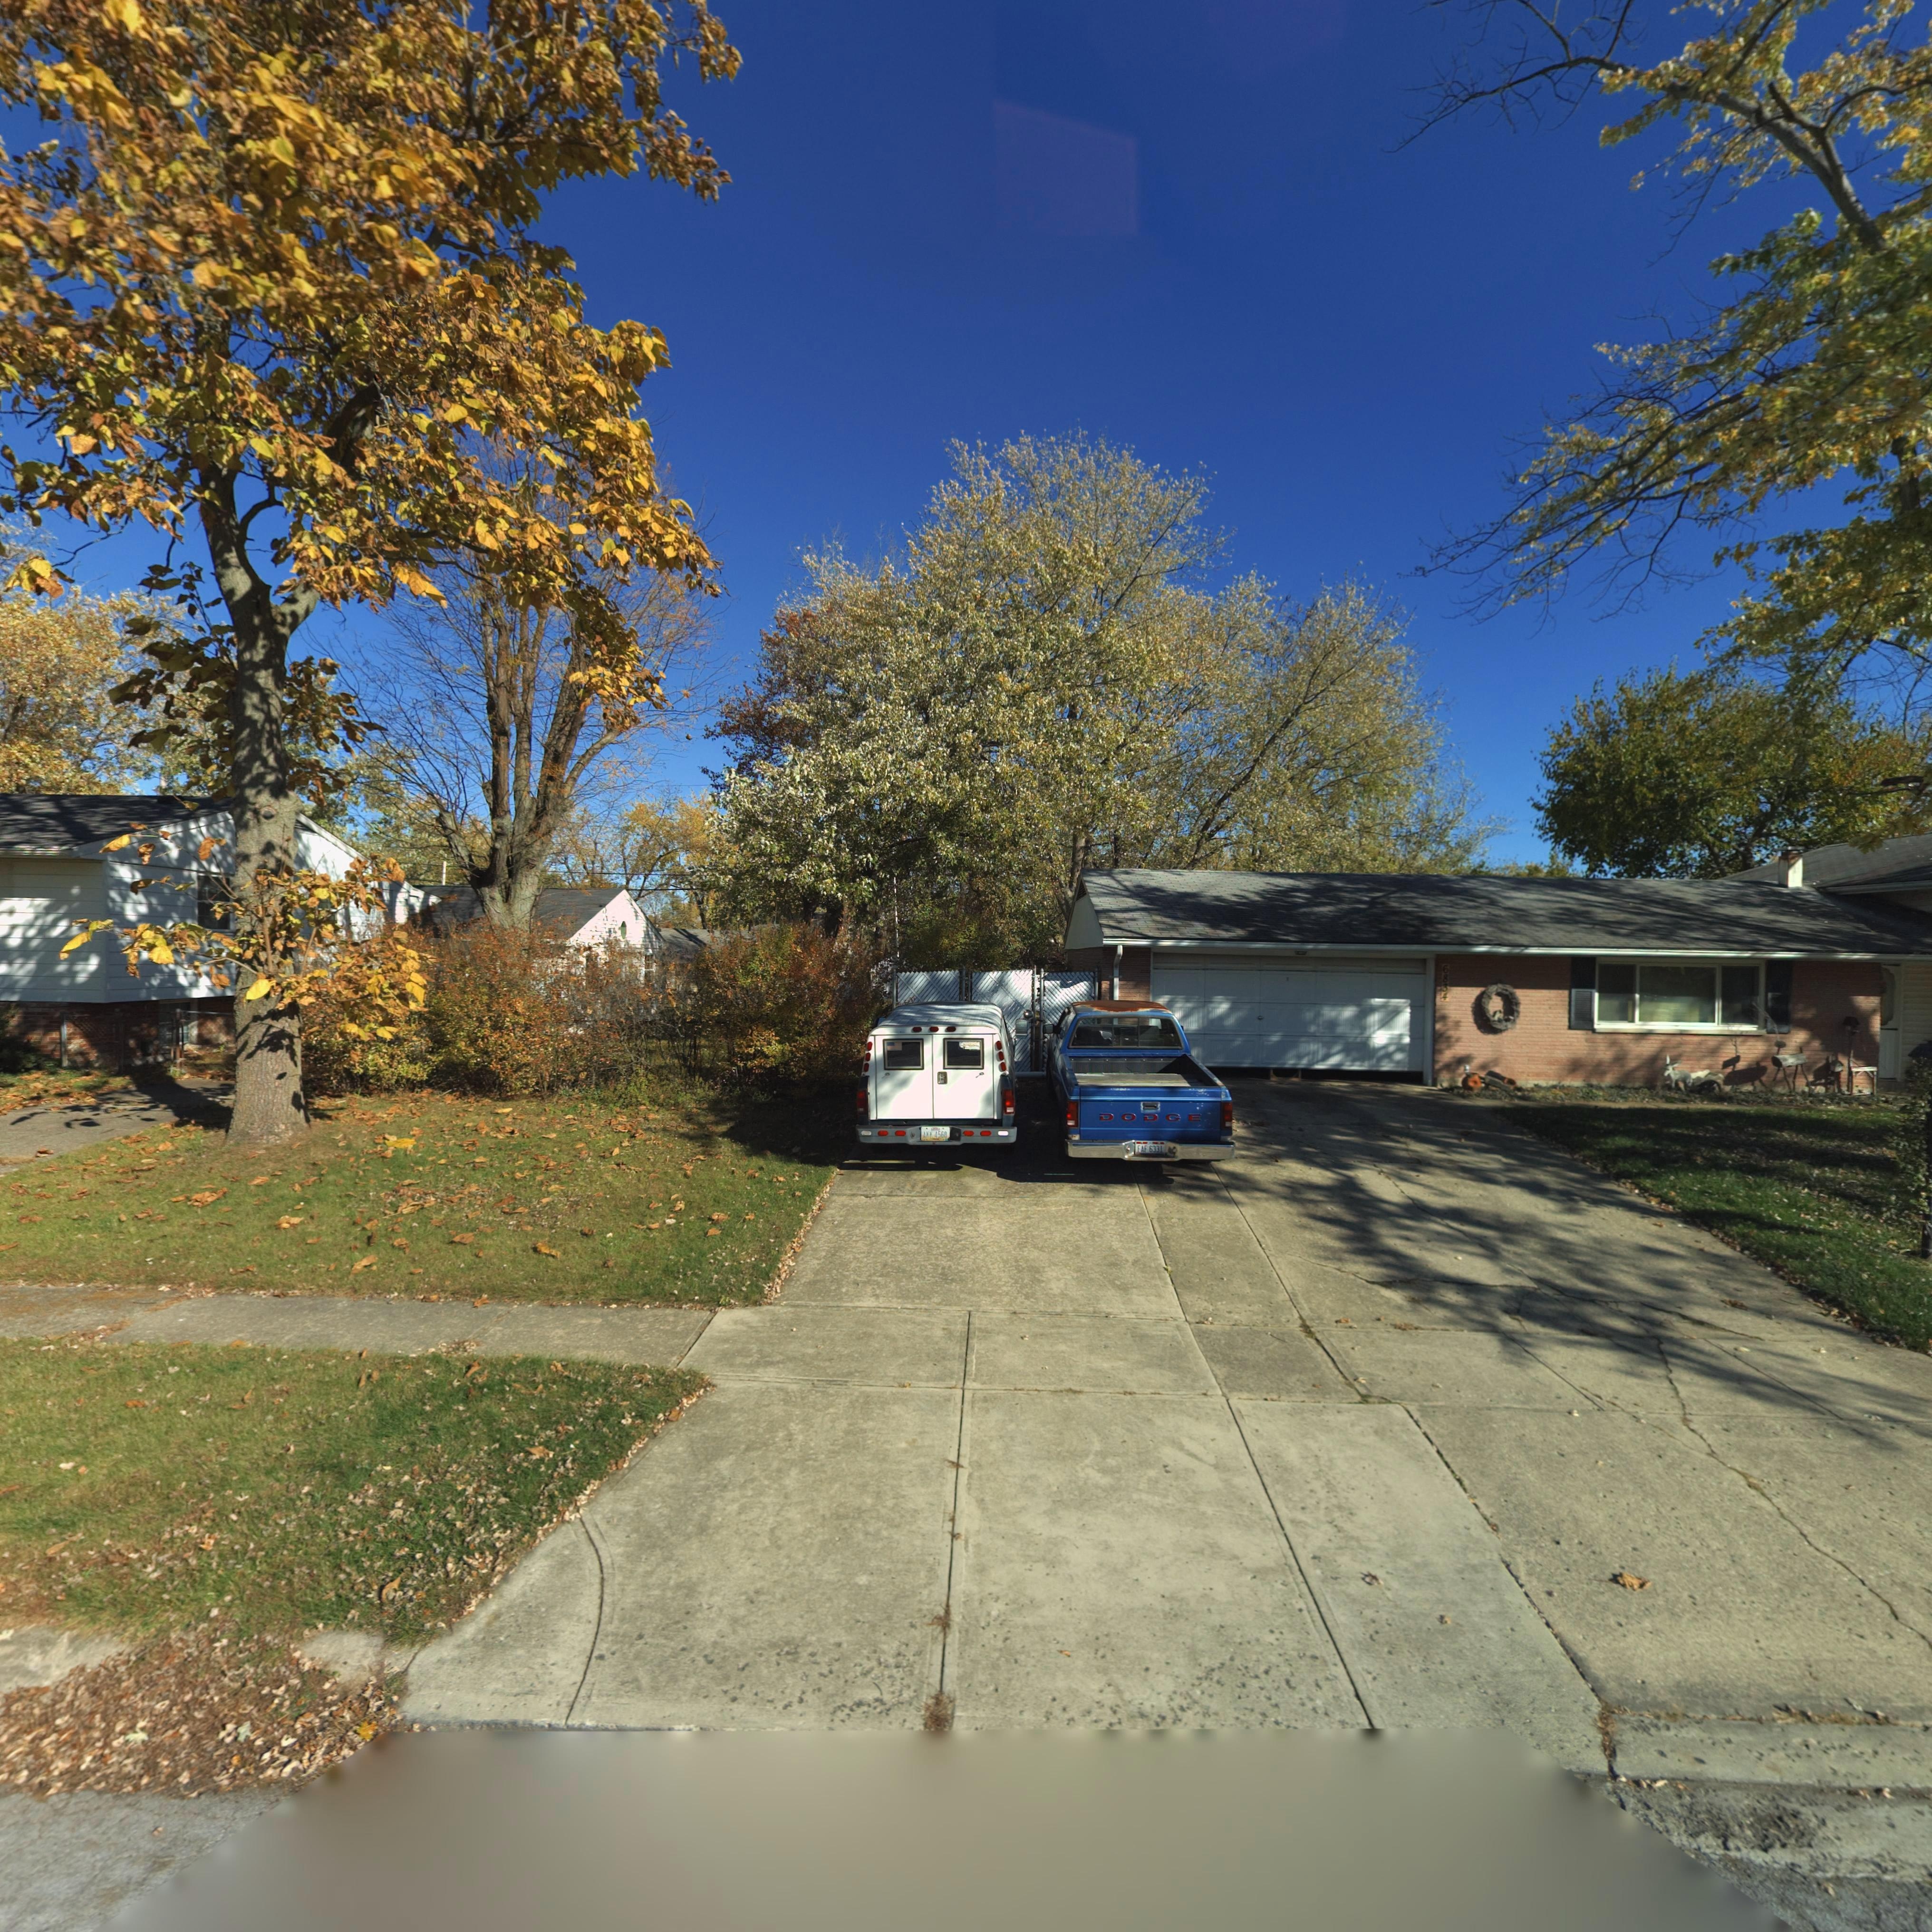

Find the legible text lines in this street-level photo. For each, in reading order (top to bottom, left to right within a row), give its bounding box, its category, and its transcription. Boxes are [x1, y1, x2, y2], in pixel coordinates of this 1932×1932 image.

[1440, 964, 1449, 1001] StreetNumber: 6834